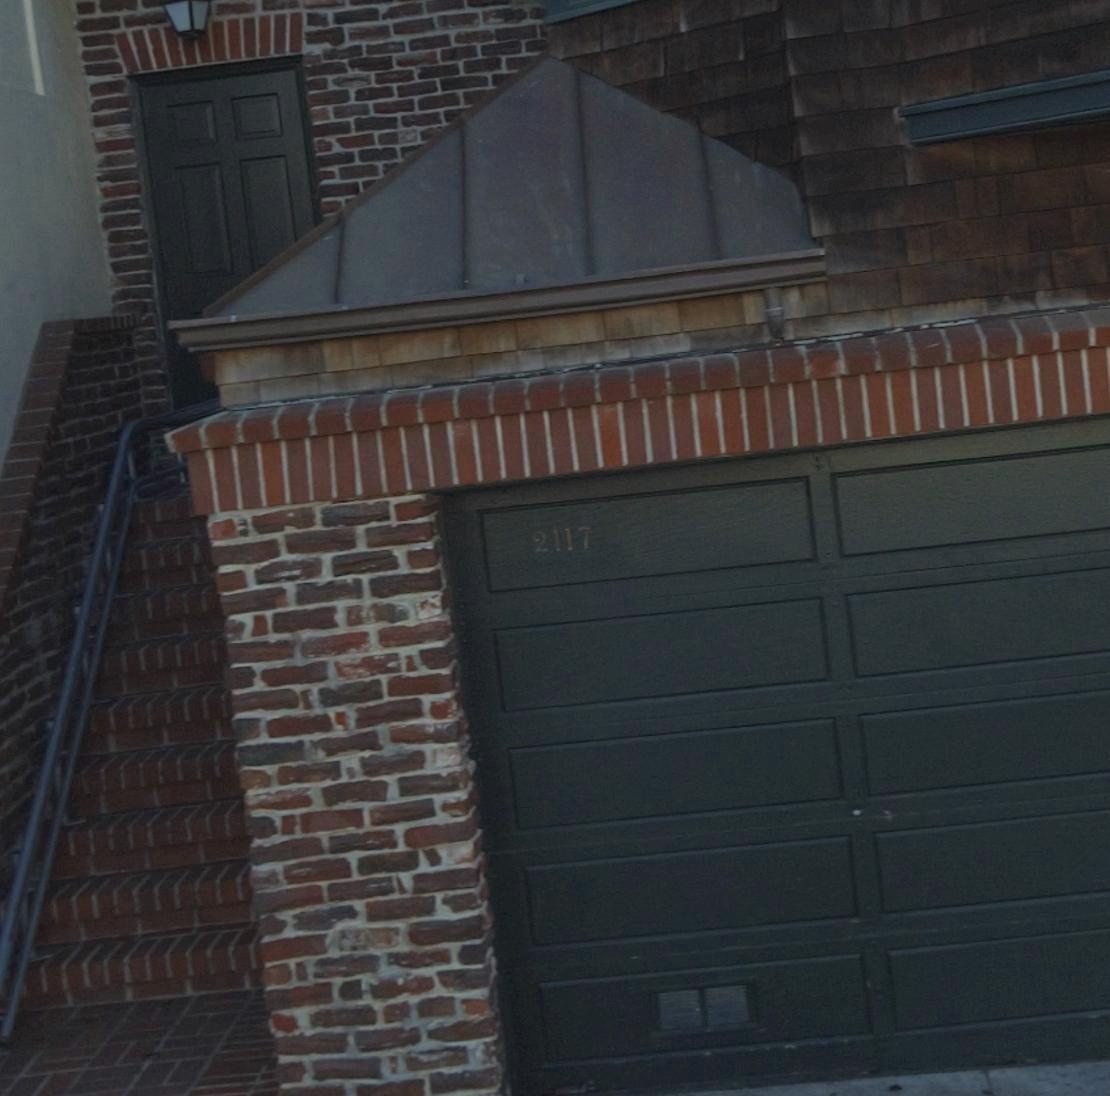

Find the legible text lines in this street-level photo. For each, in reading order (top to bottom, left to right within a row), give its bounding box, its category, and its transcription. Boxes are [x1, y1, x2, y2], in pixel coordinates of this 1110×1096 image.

[530, 523, 593, 556] StreetNumber: 2117